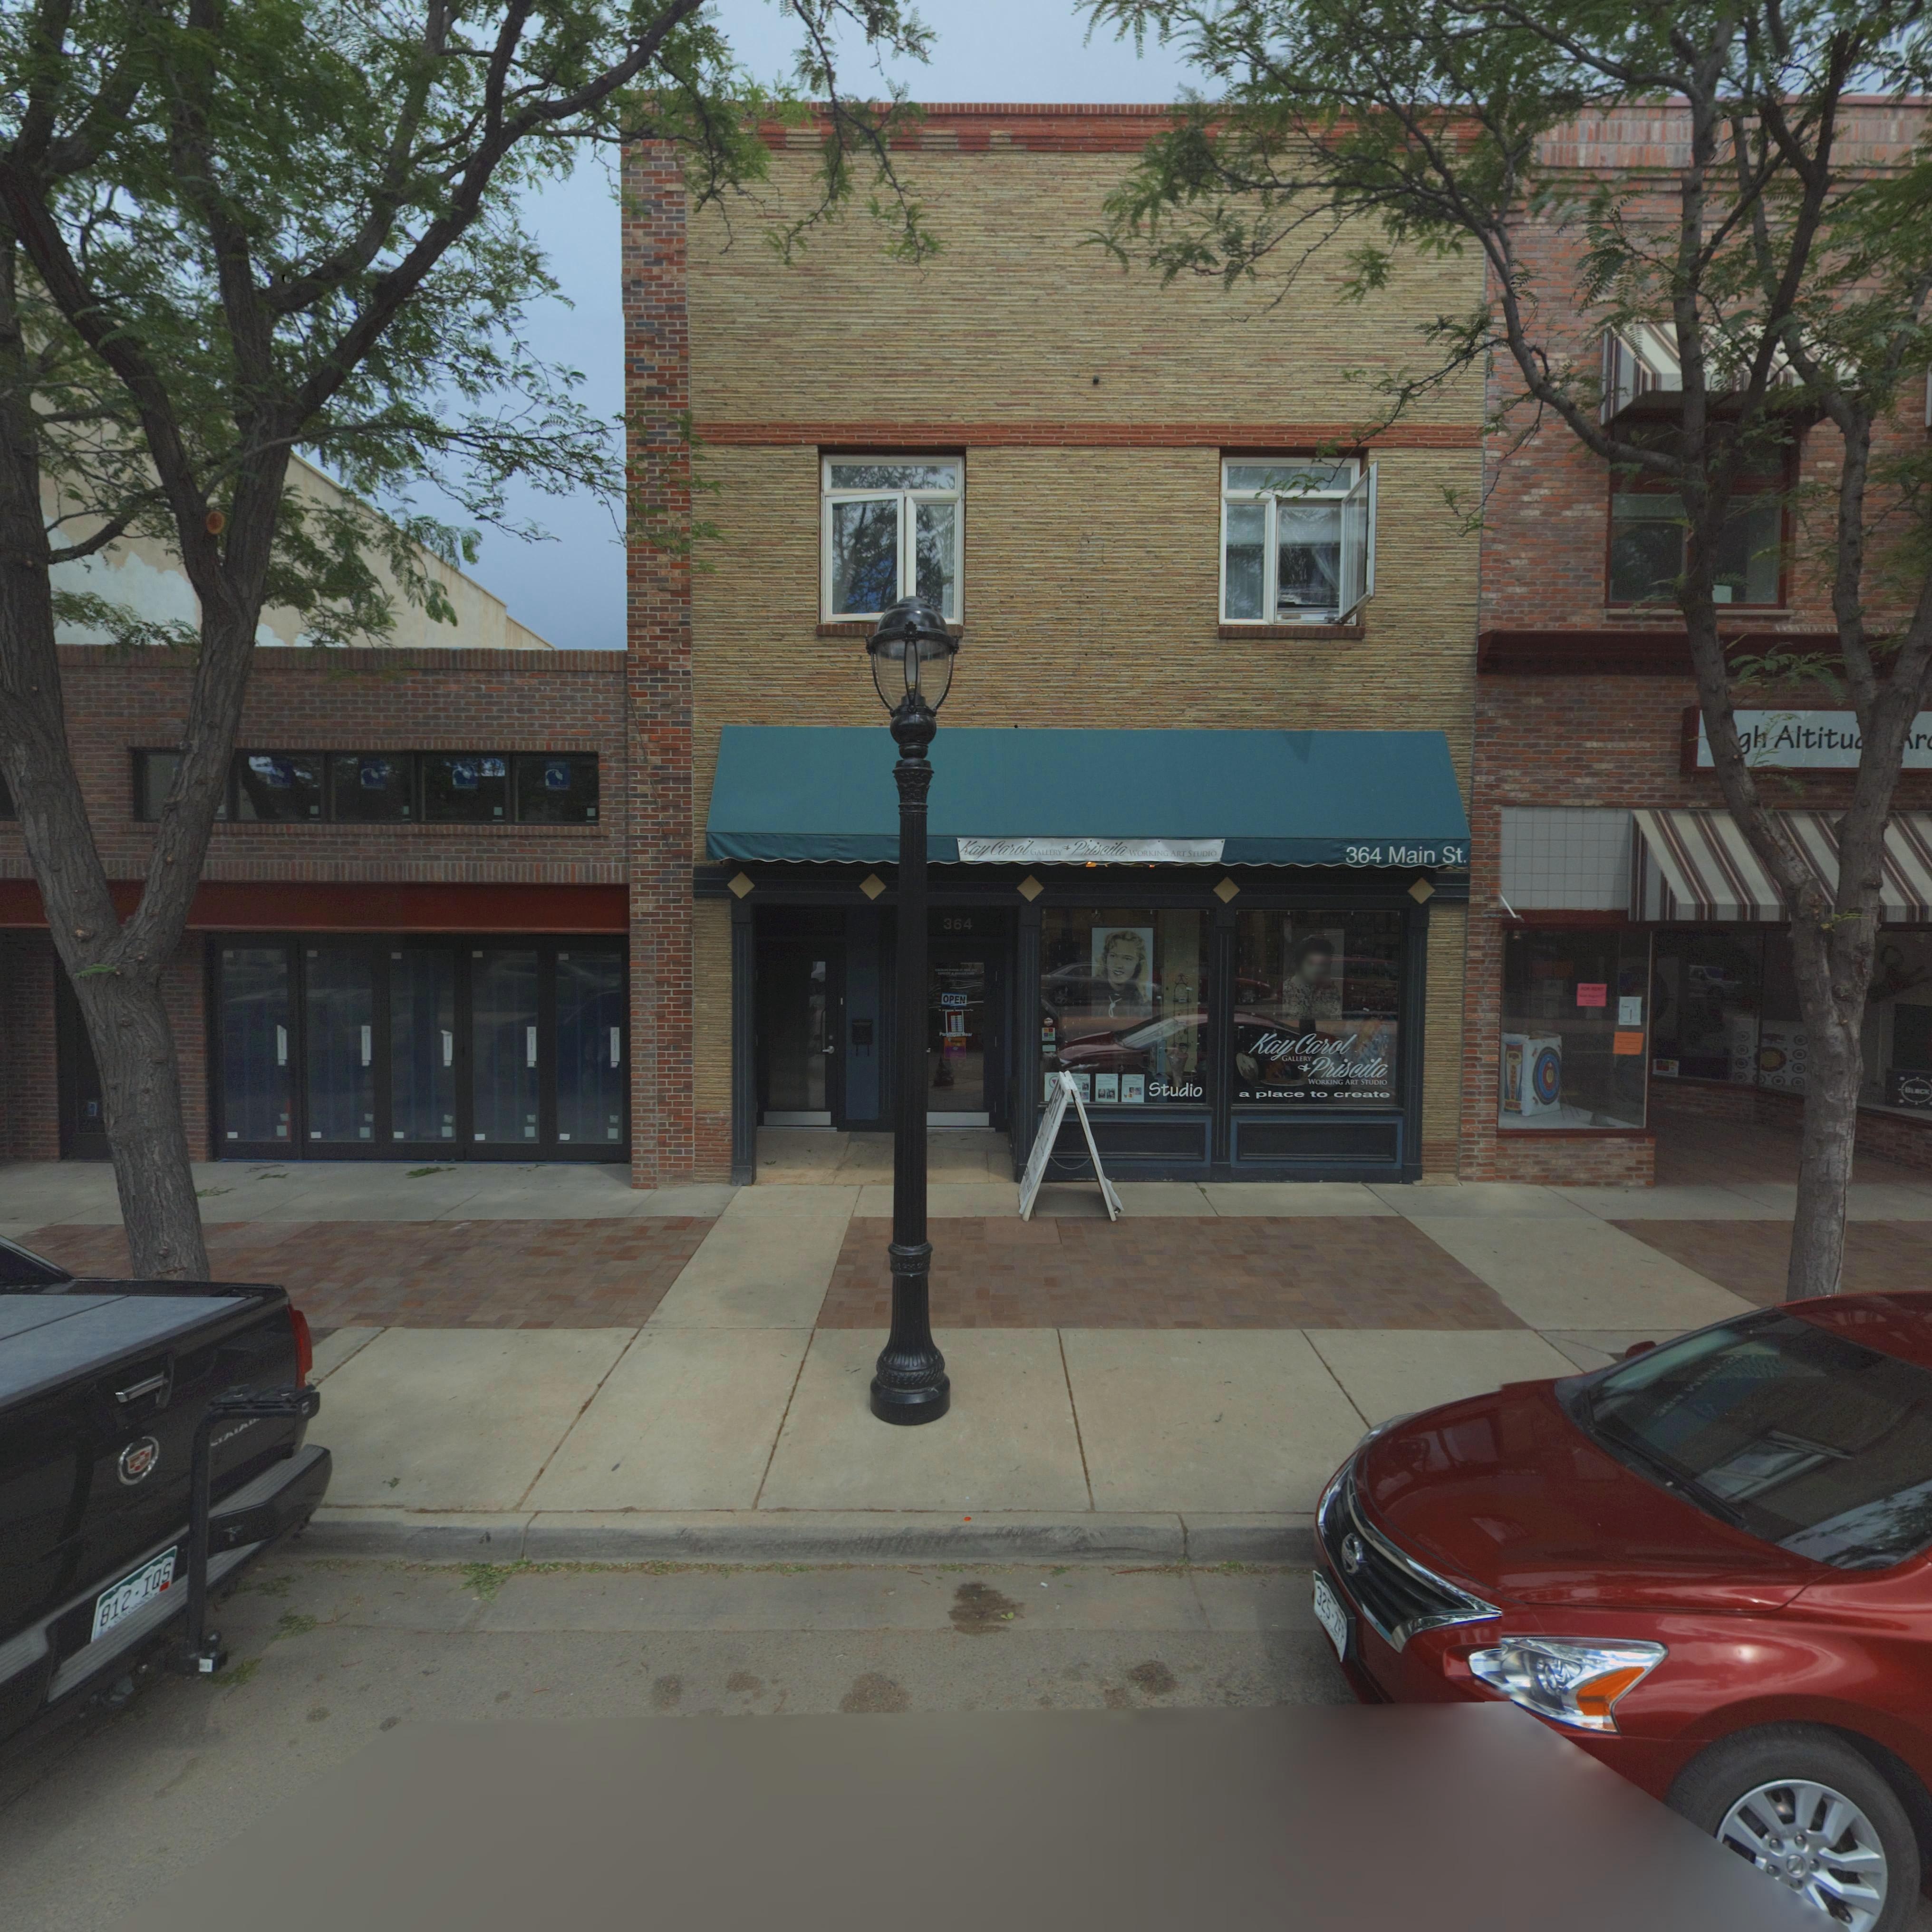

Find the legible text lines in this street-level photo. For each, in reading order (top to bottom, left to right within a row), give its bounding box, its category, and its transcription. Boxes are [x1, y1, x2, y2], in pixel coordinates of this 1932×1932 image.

[1737, 724, 1928, 756] BusinessName: **gh Altitu** *r*****
[958, 840, 1063, 860] BusinessName: Kay Carol GALLERY
[1070, 839, 1217, 857] BusinessName: Priscila WORKING ART STUDIO
[1345, 846, 1382, 863] StreetNumber: 364
[1388, 845, 1467, 864] StreetName: Main St.
[943, 917, 973, 929] StreetNumber: 364
[1246, 1032, 1358, 1061] BusinessName: Kay Carol
[1281, 1054, 1312, 1062] BusinessName: GALLERY
[1306, 1056, 1391, 1079] BusinessName: Priscila
[1307, 1078, 1388, 1085] BusinessName: WORKING ART STUDIO